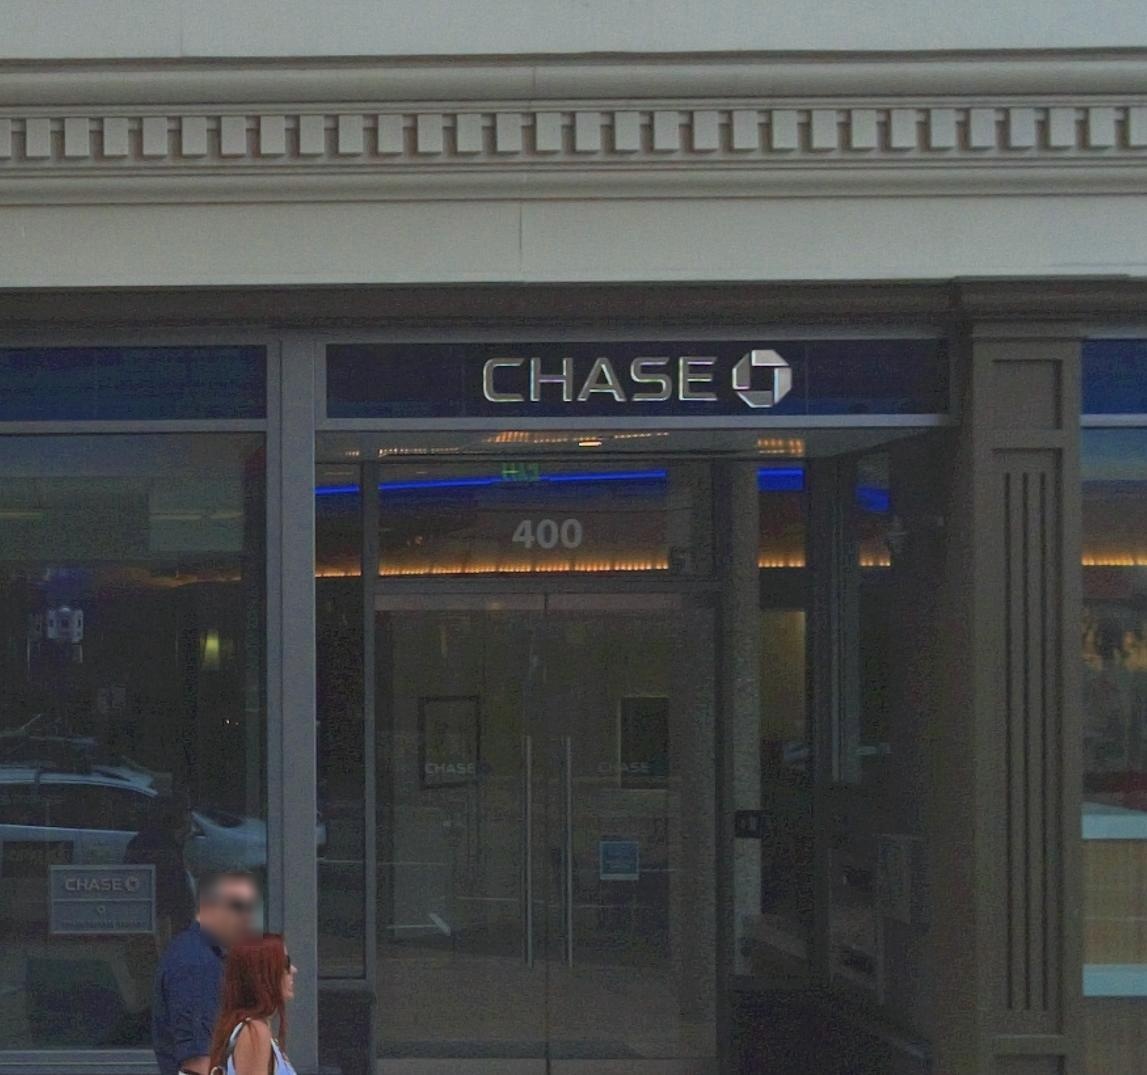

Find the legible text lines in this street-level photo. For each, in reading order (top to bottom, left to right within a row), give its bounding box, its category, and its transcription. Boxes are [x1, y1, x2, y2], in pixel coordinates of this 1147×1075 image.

[480, 354, 719, 402] BusinessName: CHASE
[510, 517, 587, 551] StreetNumber: 400
[424, 762, 475, 774] BusinessName: CHASE
[598, 761, 649, 774] BusinessName: CHASE
[65, 878, 122, 891] BusinessName: CHASE